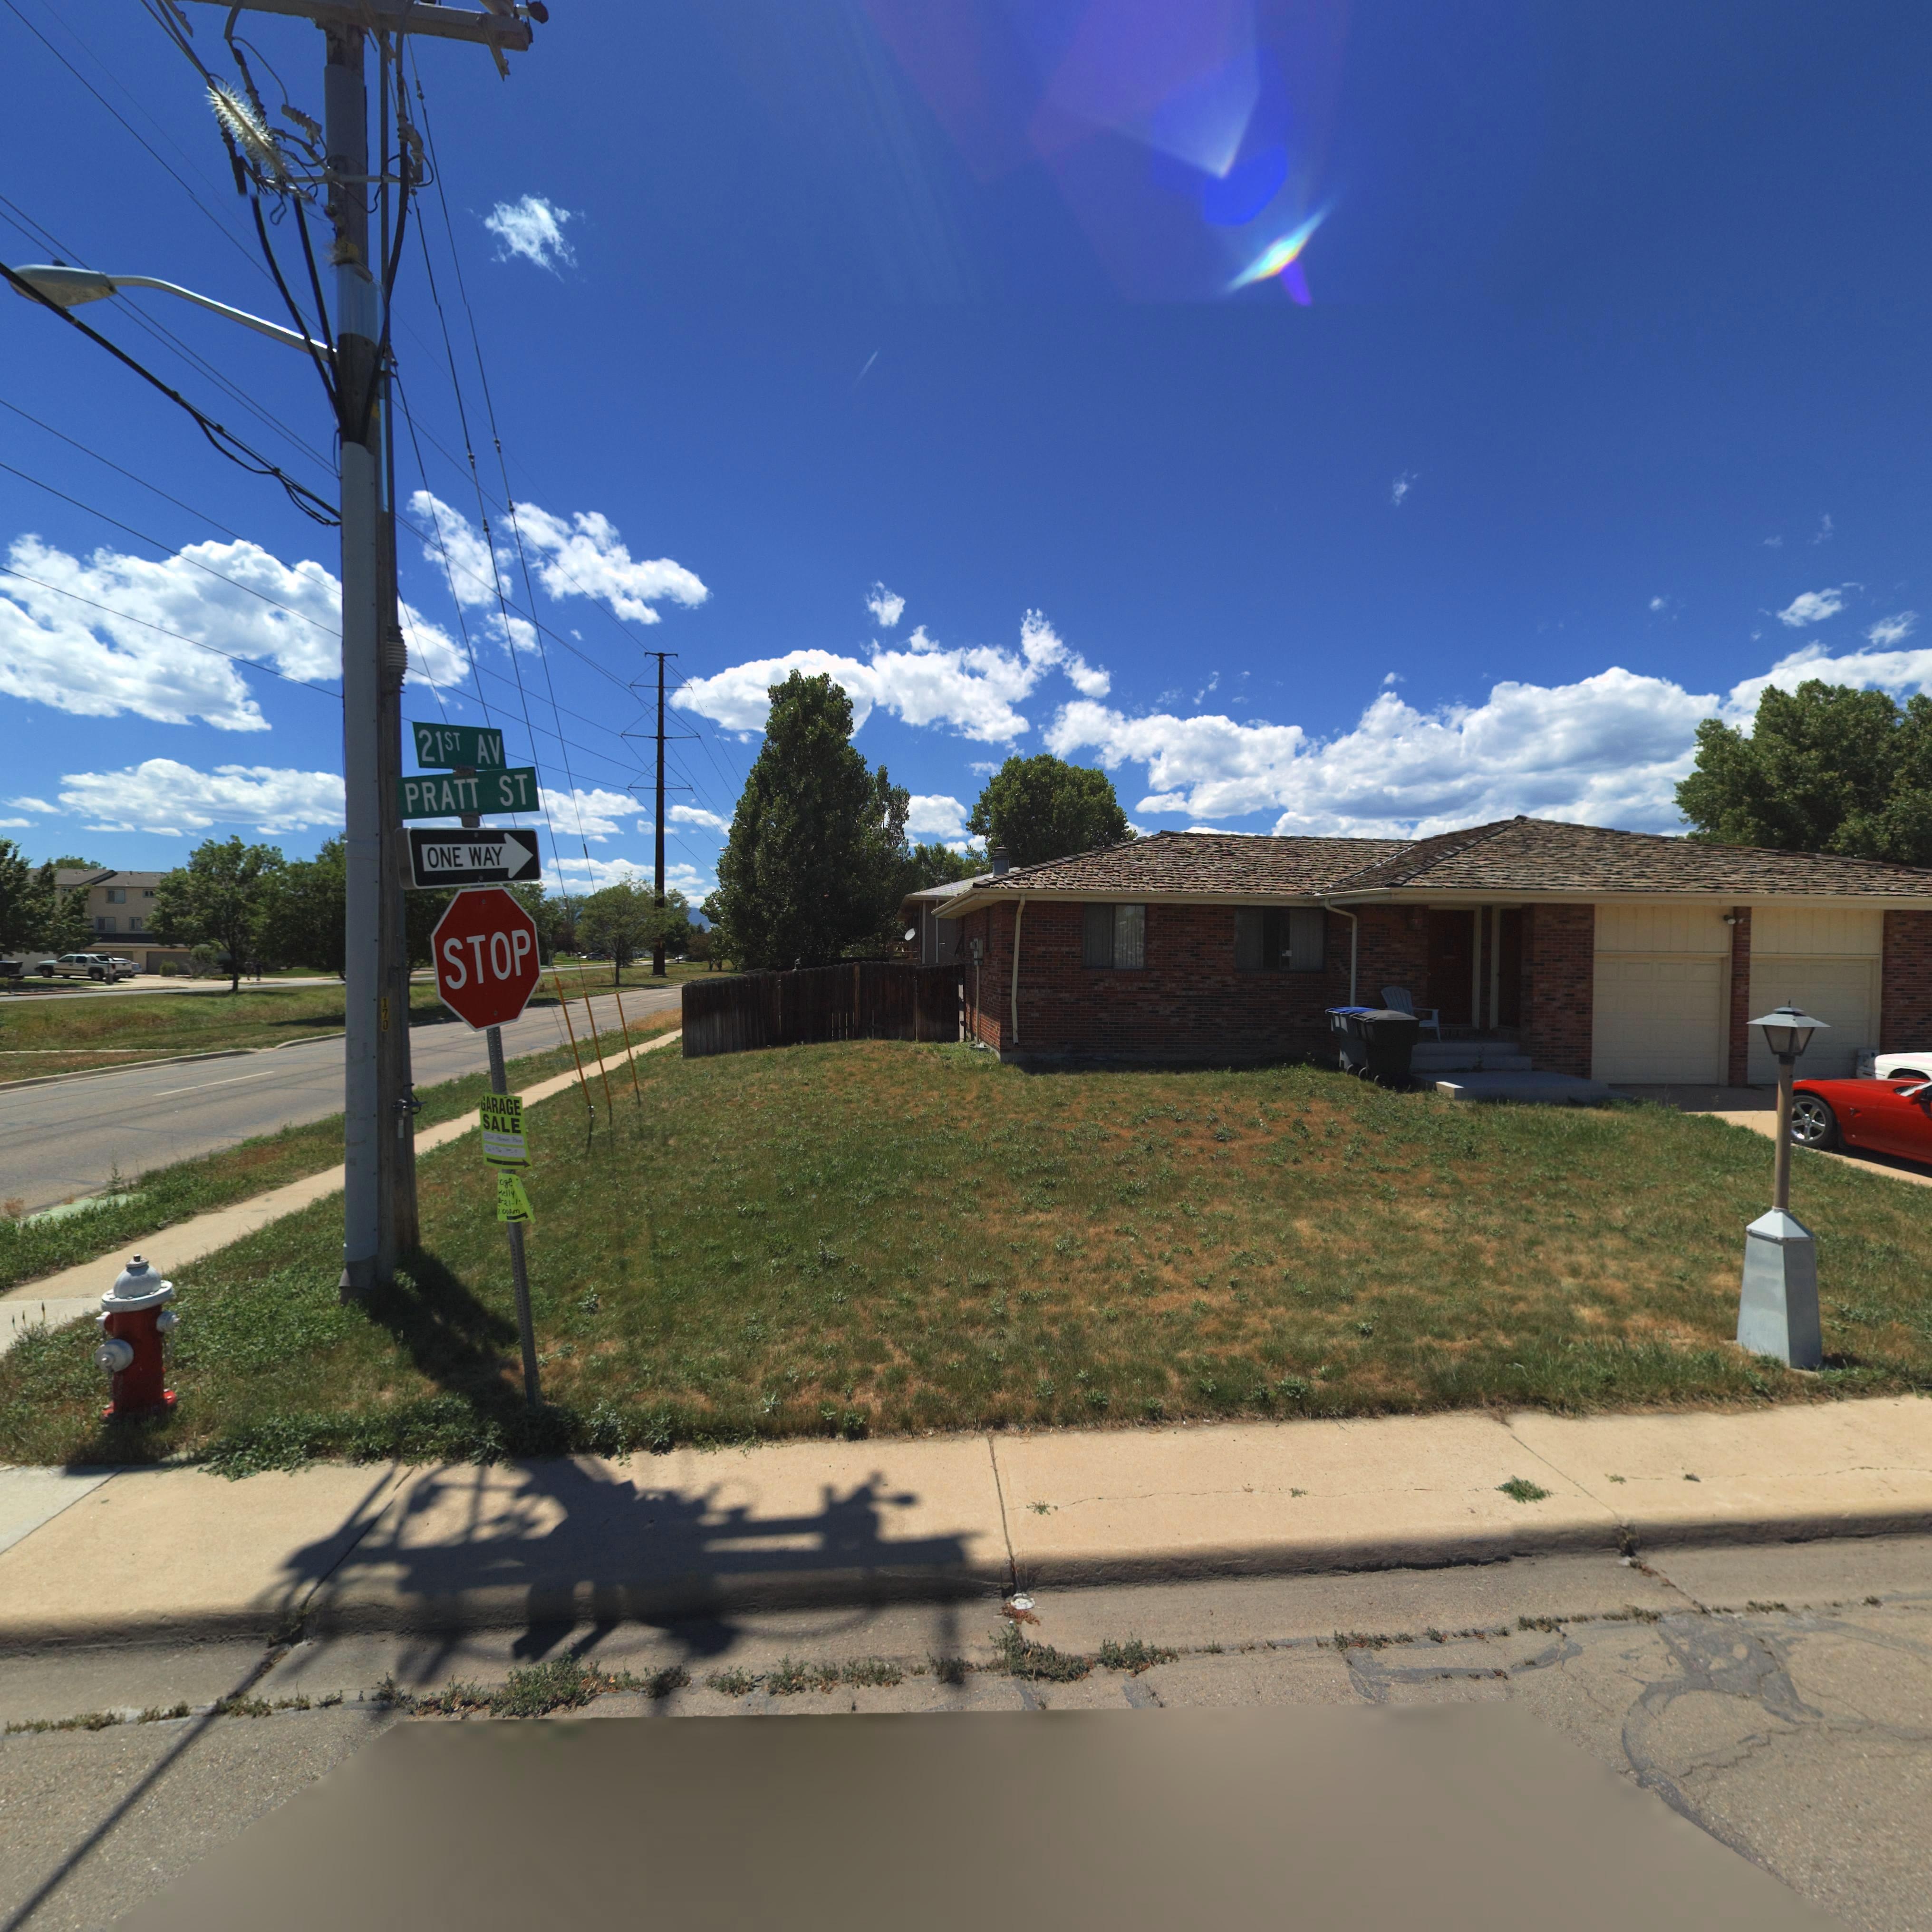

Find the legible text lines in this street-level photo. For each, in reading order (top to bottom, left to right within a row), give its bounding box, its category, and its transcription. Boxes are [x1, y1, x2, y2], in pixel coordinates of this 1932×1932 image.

[418, 728, 501, 765] StreetName: 21ST AV
[404, 773, 528, 813] StreetName: PRATT ST